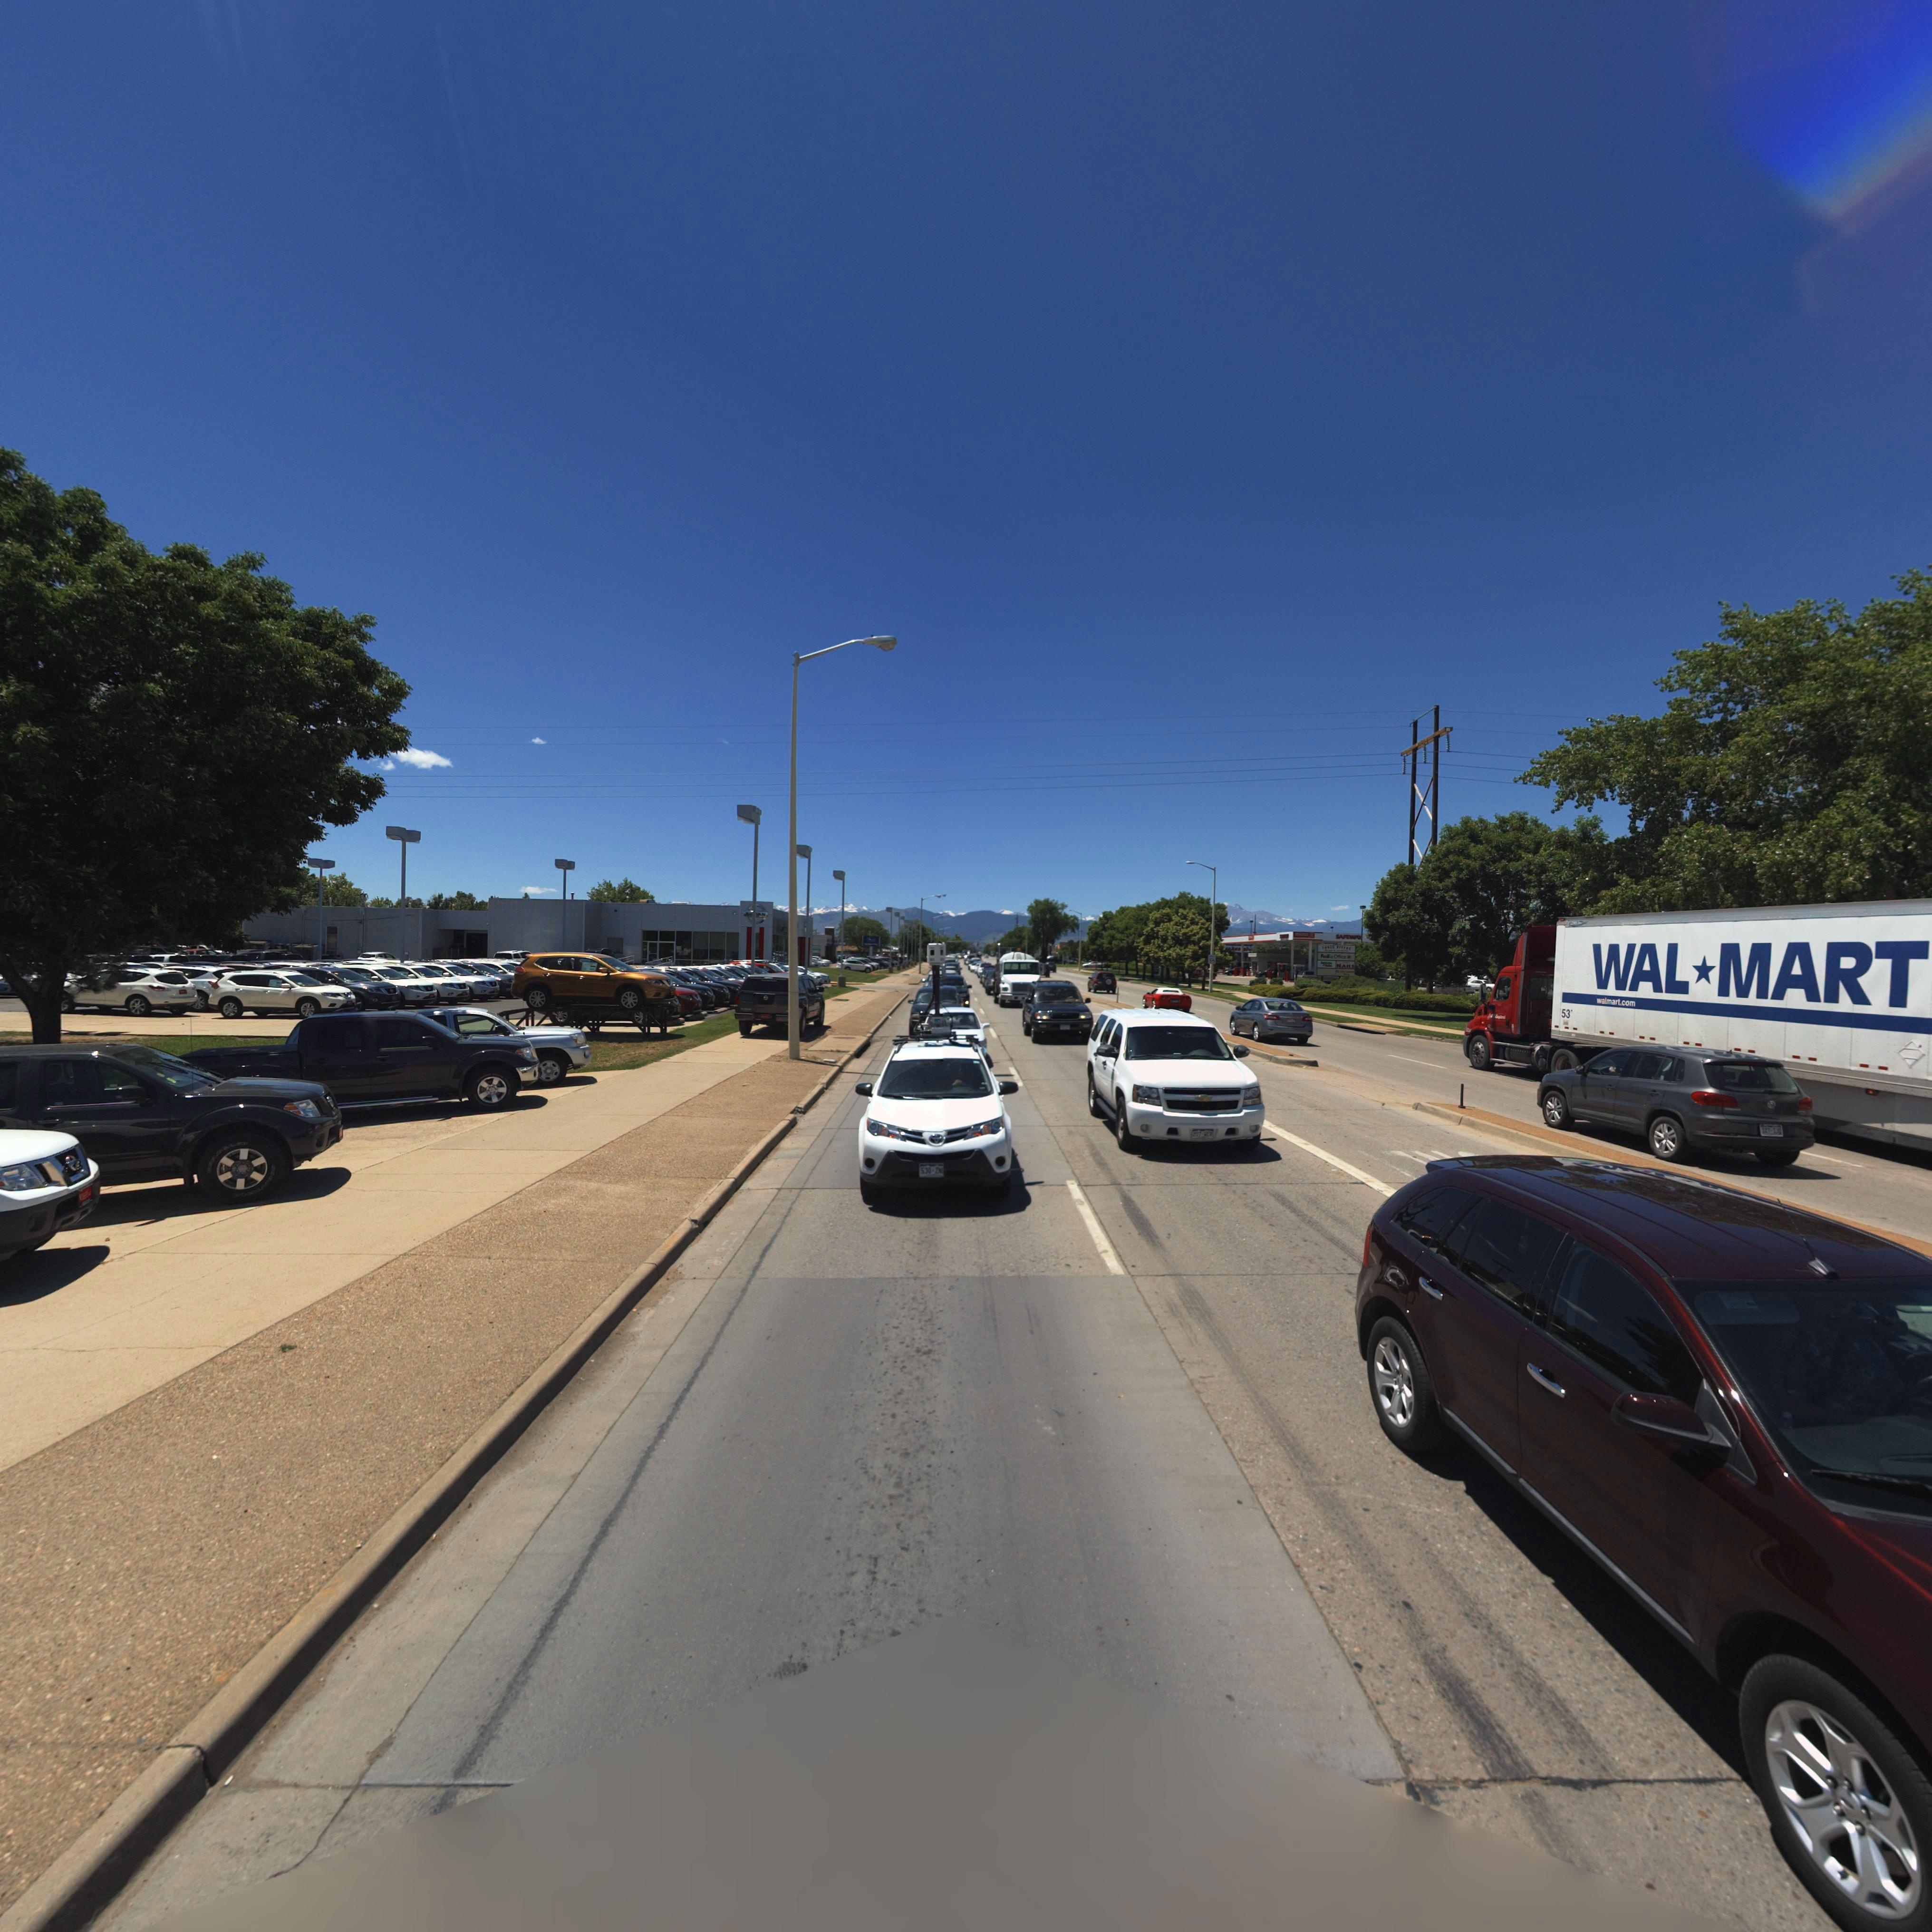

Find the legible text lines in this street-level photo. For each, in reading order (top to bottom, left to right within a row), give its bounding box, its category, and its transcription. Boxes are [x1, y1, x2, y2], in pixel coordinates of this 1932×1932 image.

[745, 911, 765, 916] BusinessName: N***AN
[1335, 934, 1361, 939] BusinessName: SAFE**Y
[1231, 946, 1248, 951] BusinessName: kes pl
[1321, 954, 1346, 959] BusinessName: FedEx Online